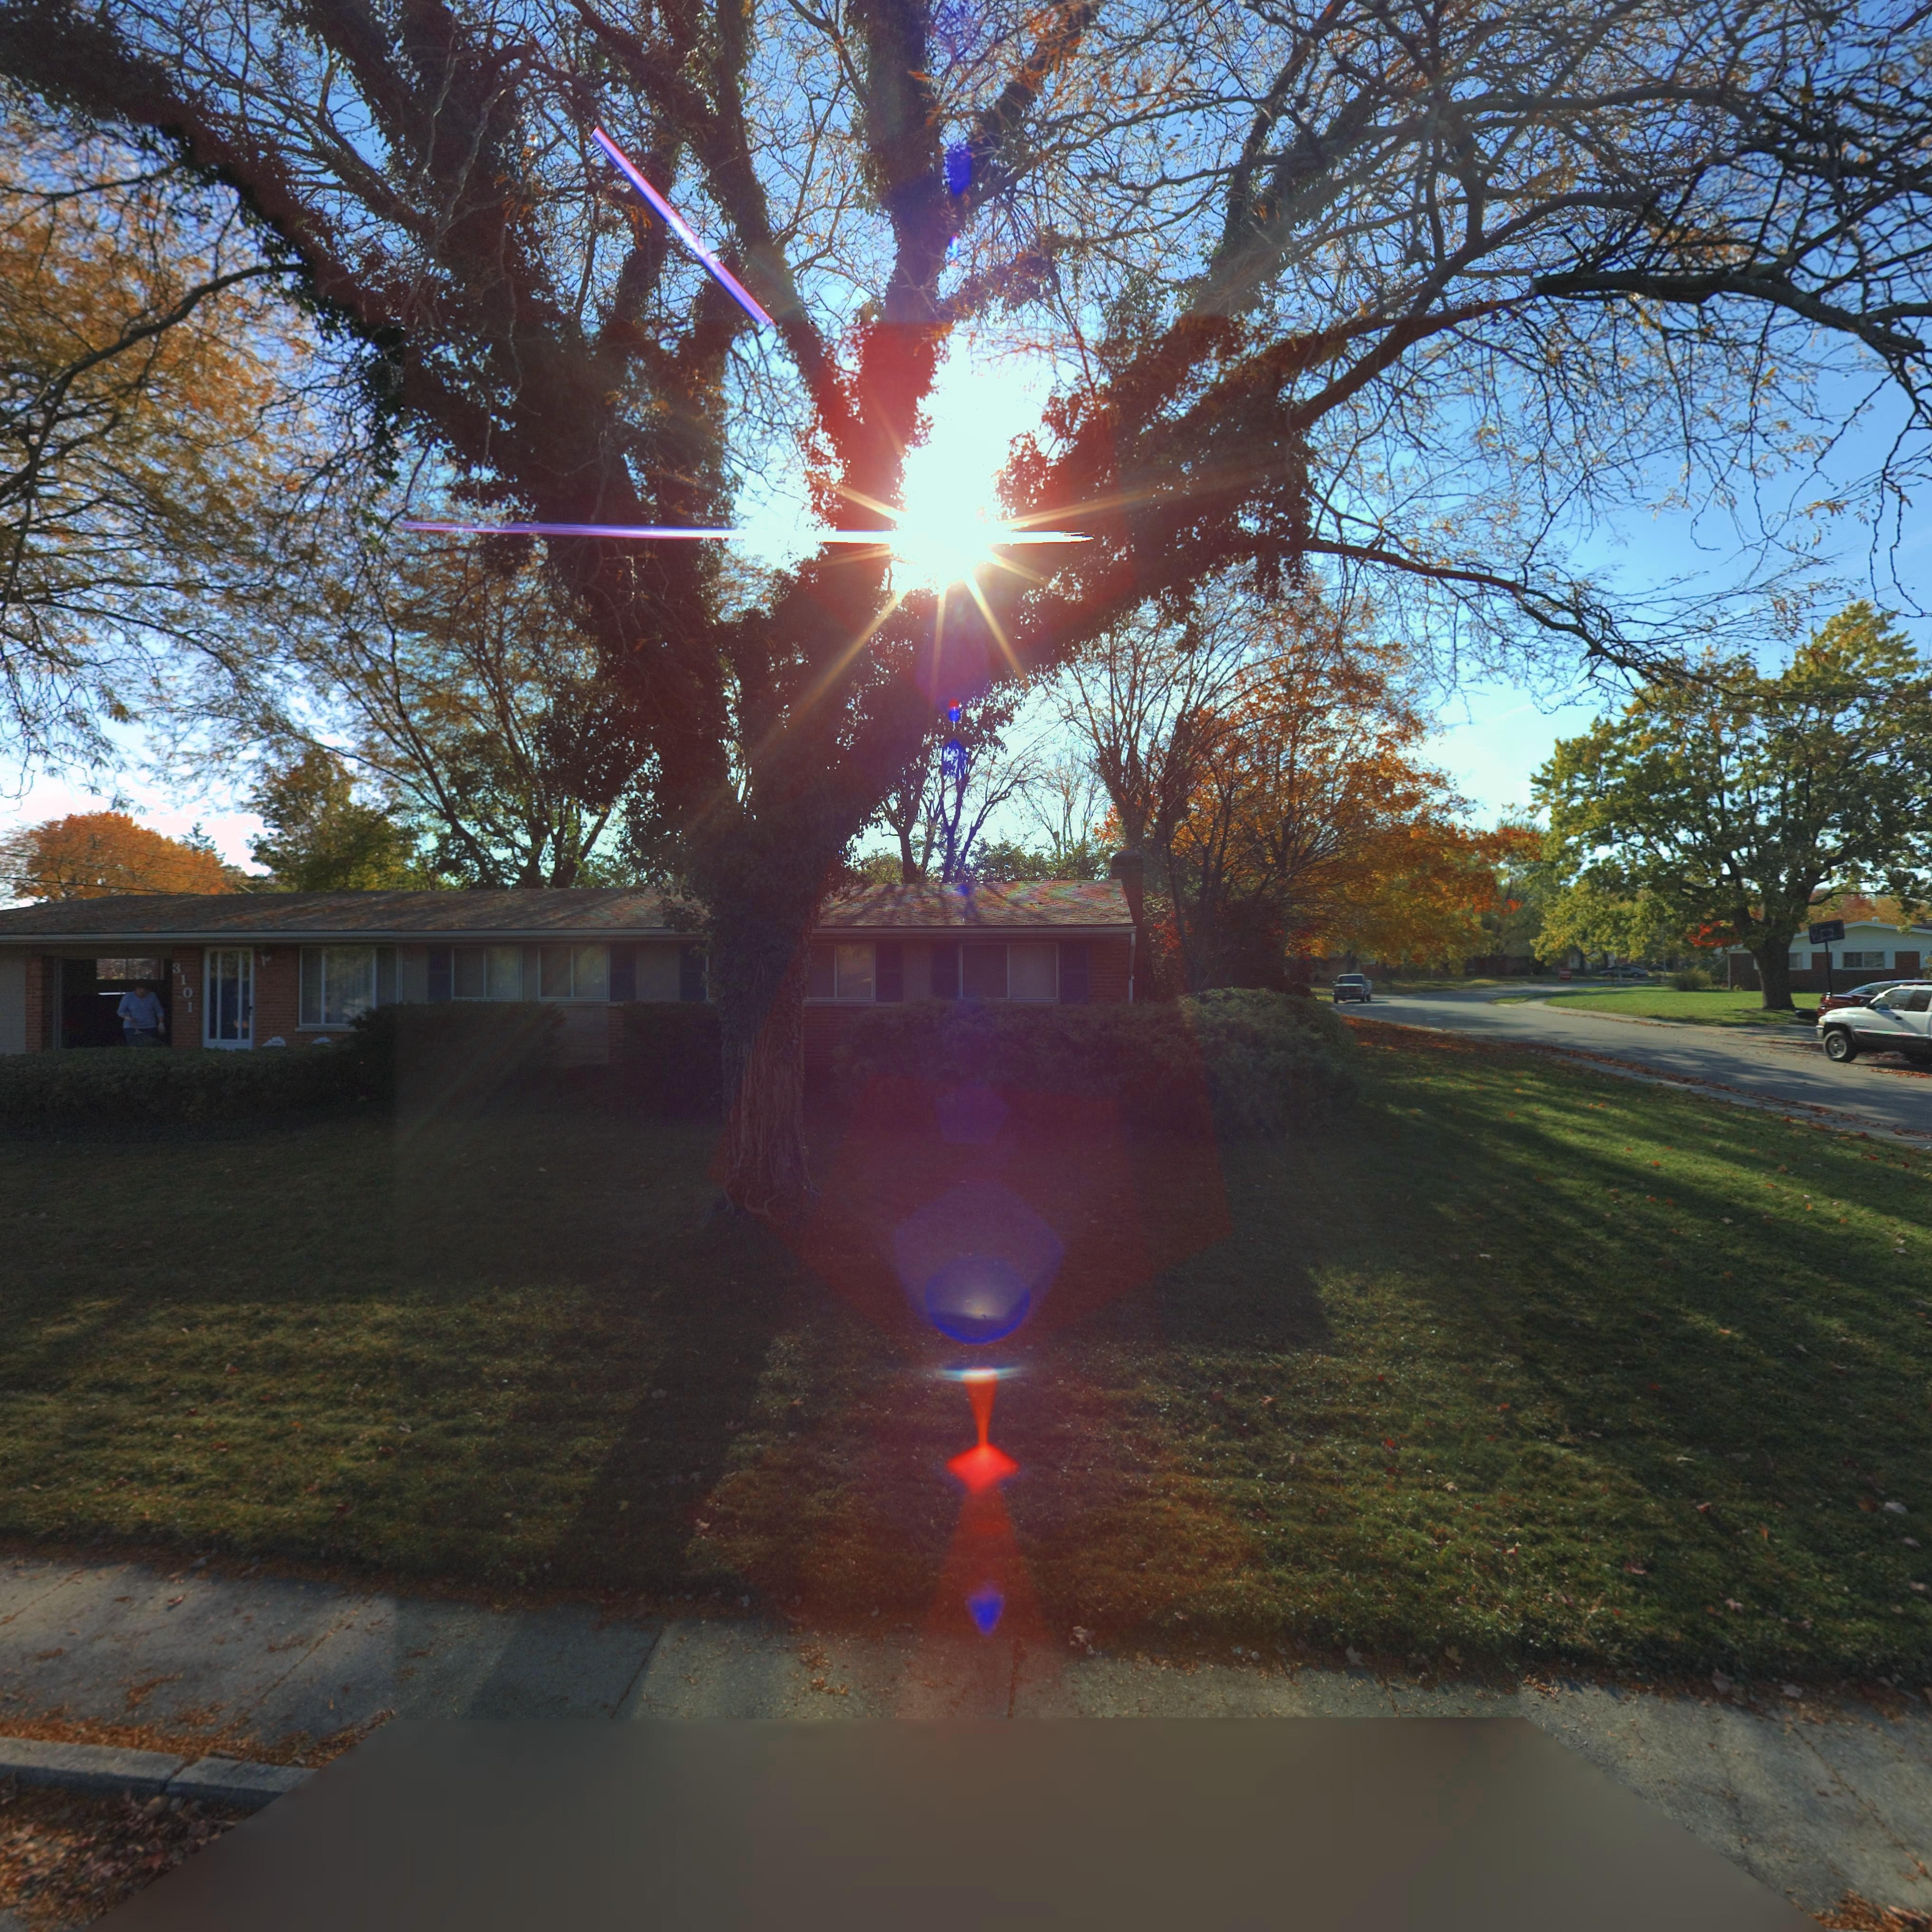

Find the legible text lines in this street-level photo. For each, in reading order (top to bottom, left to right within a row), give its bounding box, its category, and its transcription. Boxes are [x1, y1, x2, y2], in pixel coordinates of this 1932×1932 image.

[172, 962, 193, 1014] StreetNumber: 3101